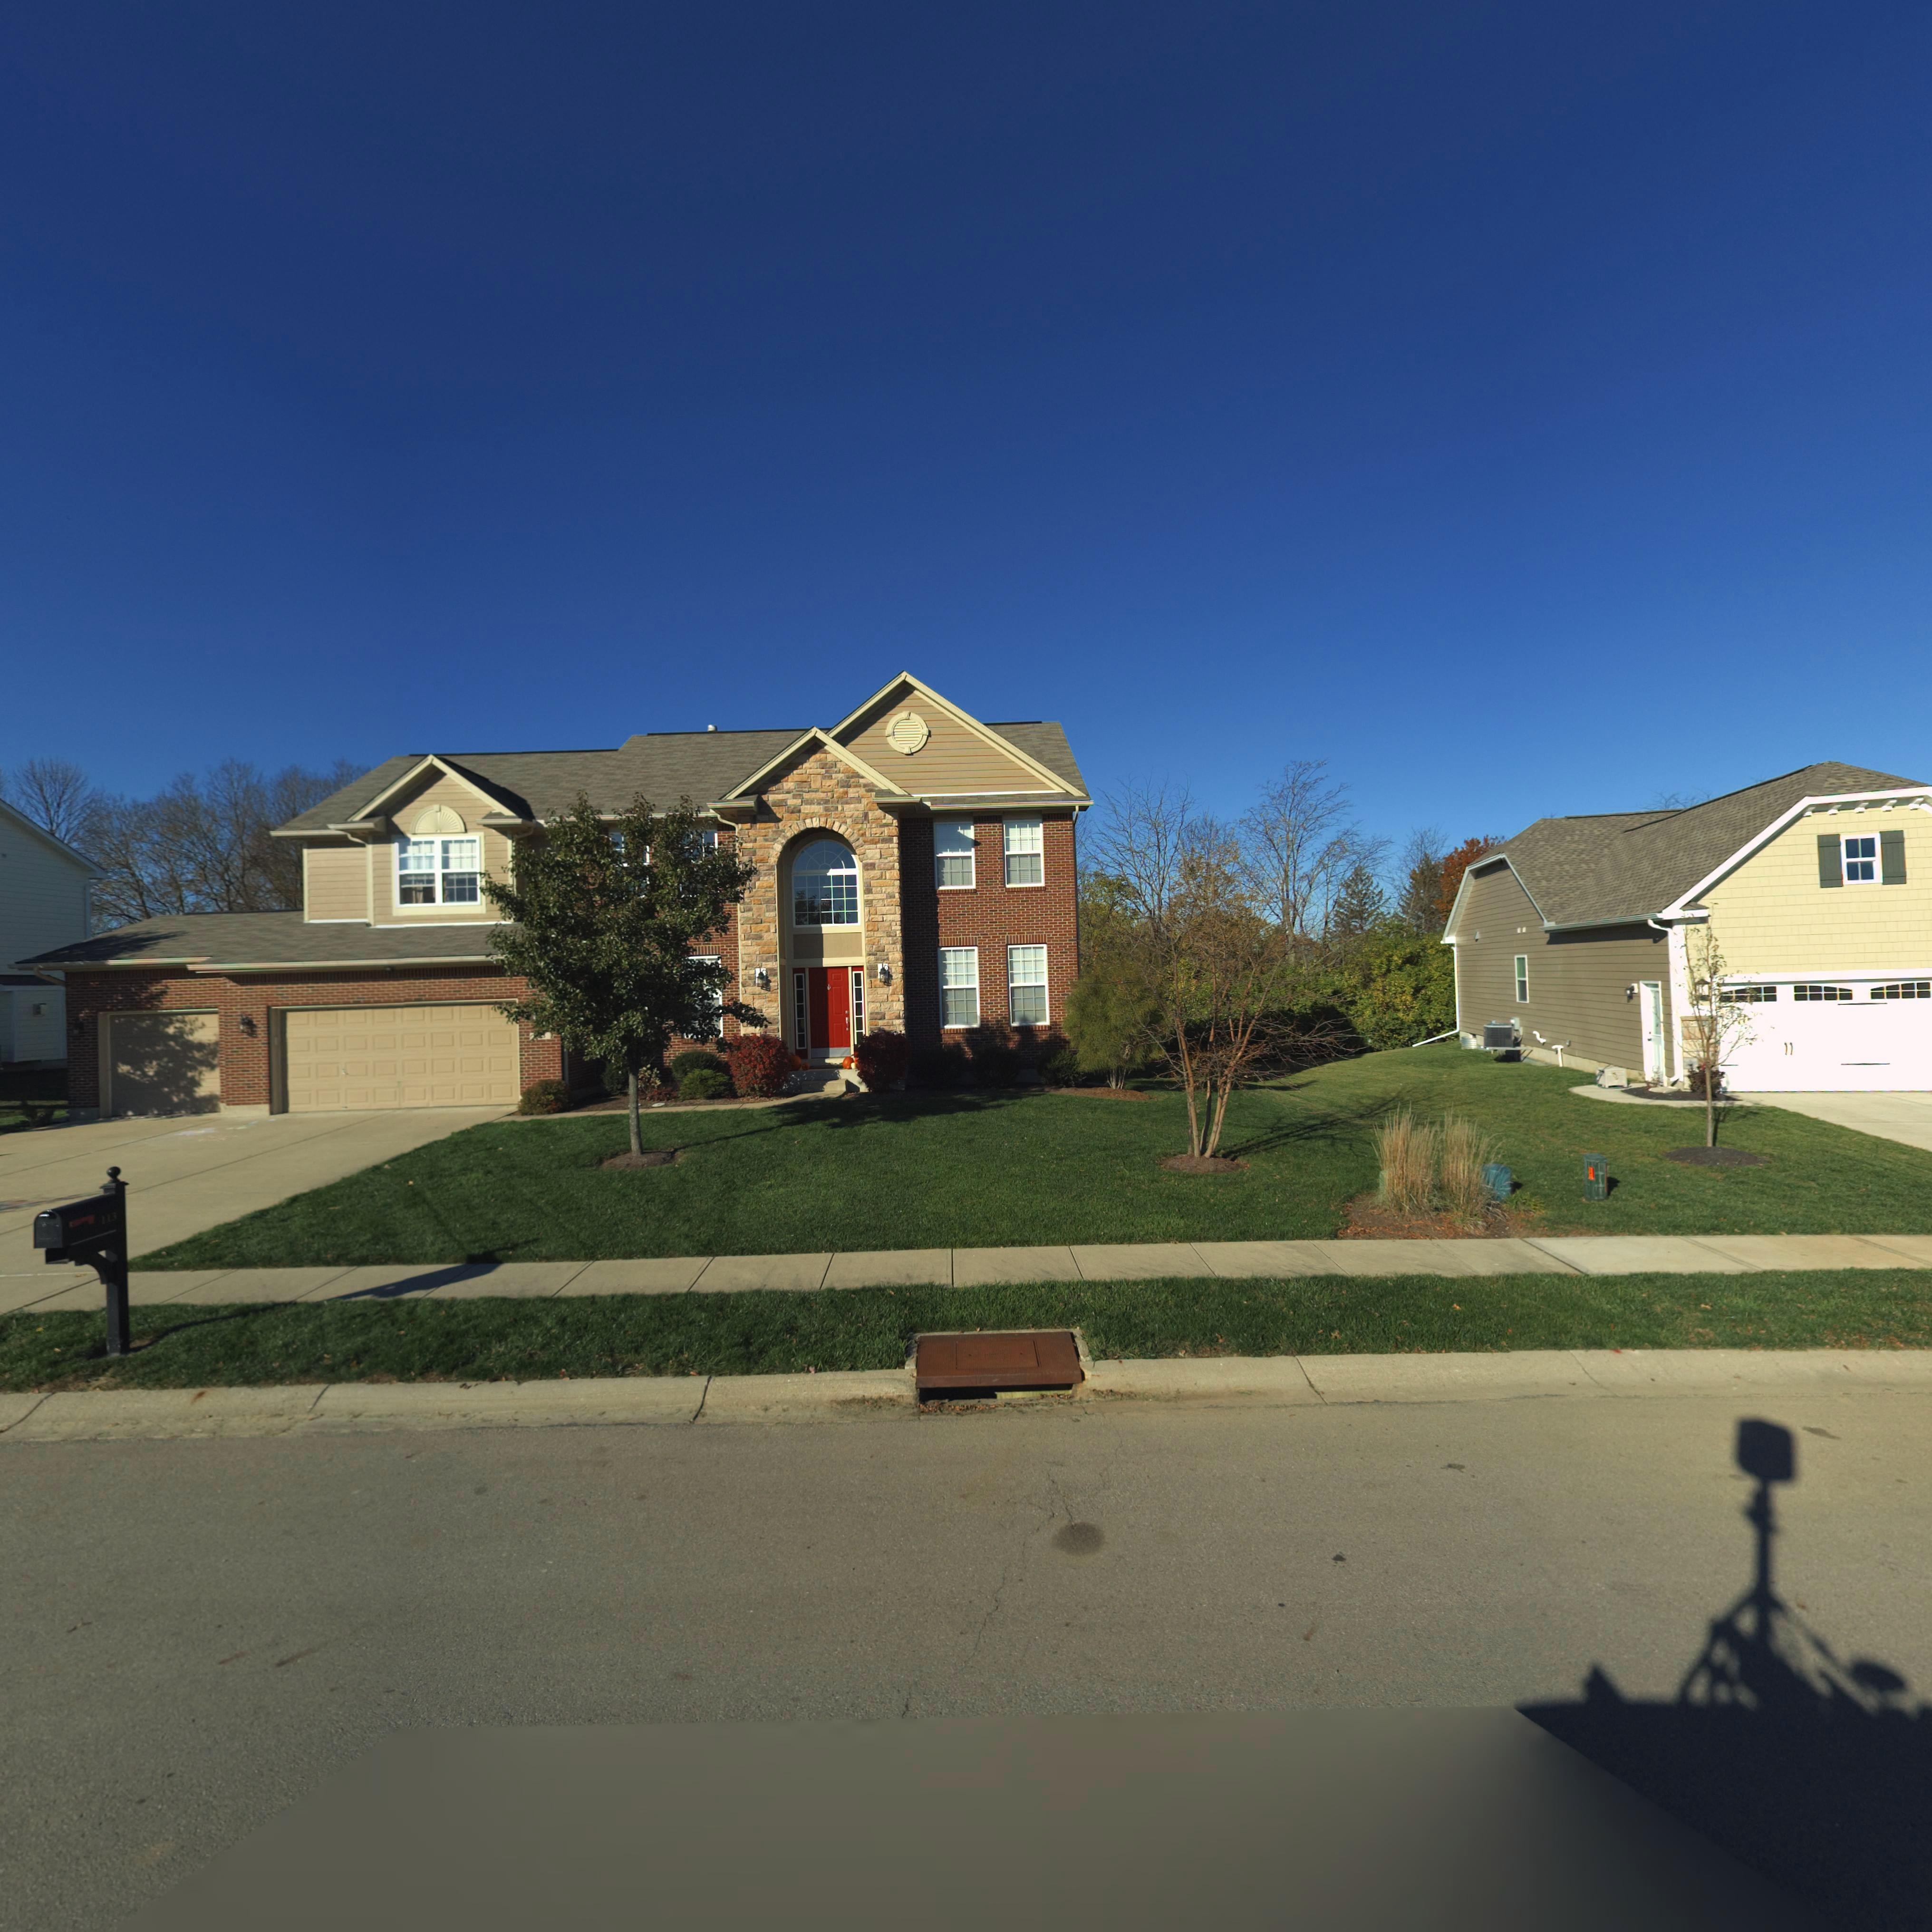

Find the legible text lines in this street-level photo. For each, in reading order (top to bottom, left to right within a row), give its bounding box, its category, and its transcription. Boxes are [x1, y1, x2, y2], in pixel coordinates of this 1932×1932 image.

[100, 1211, 117, 1226] StreetNumber: 113